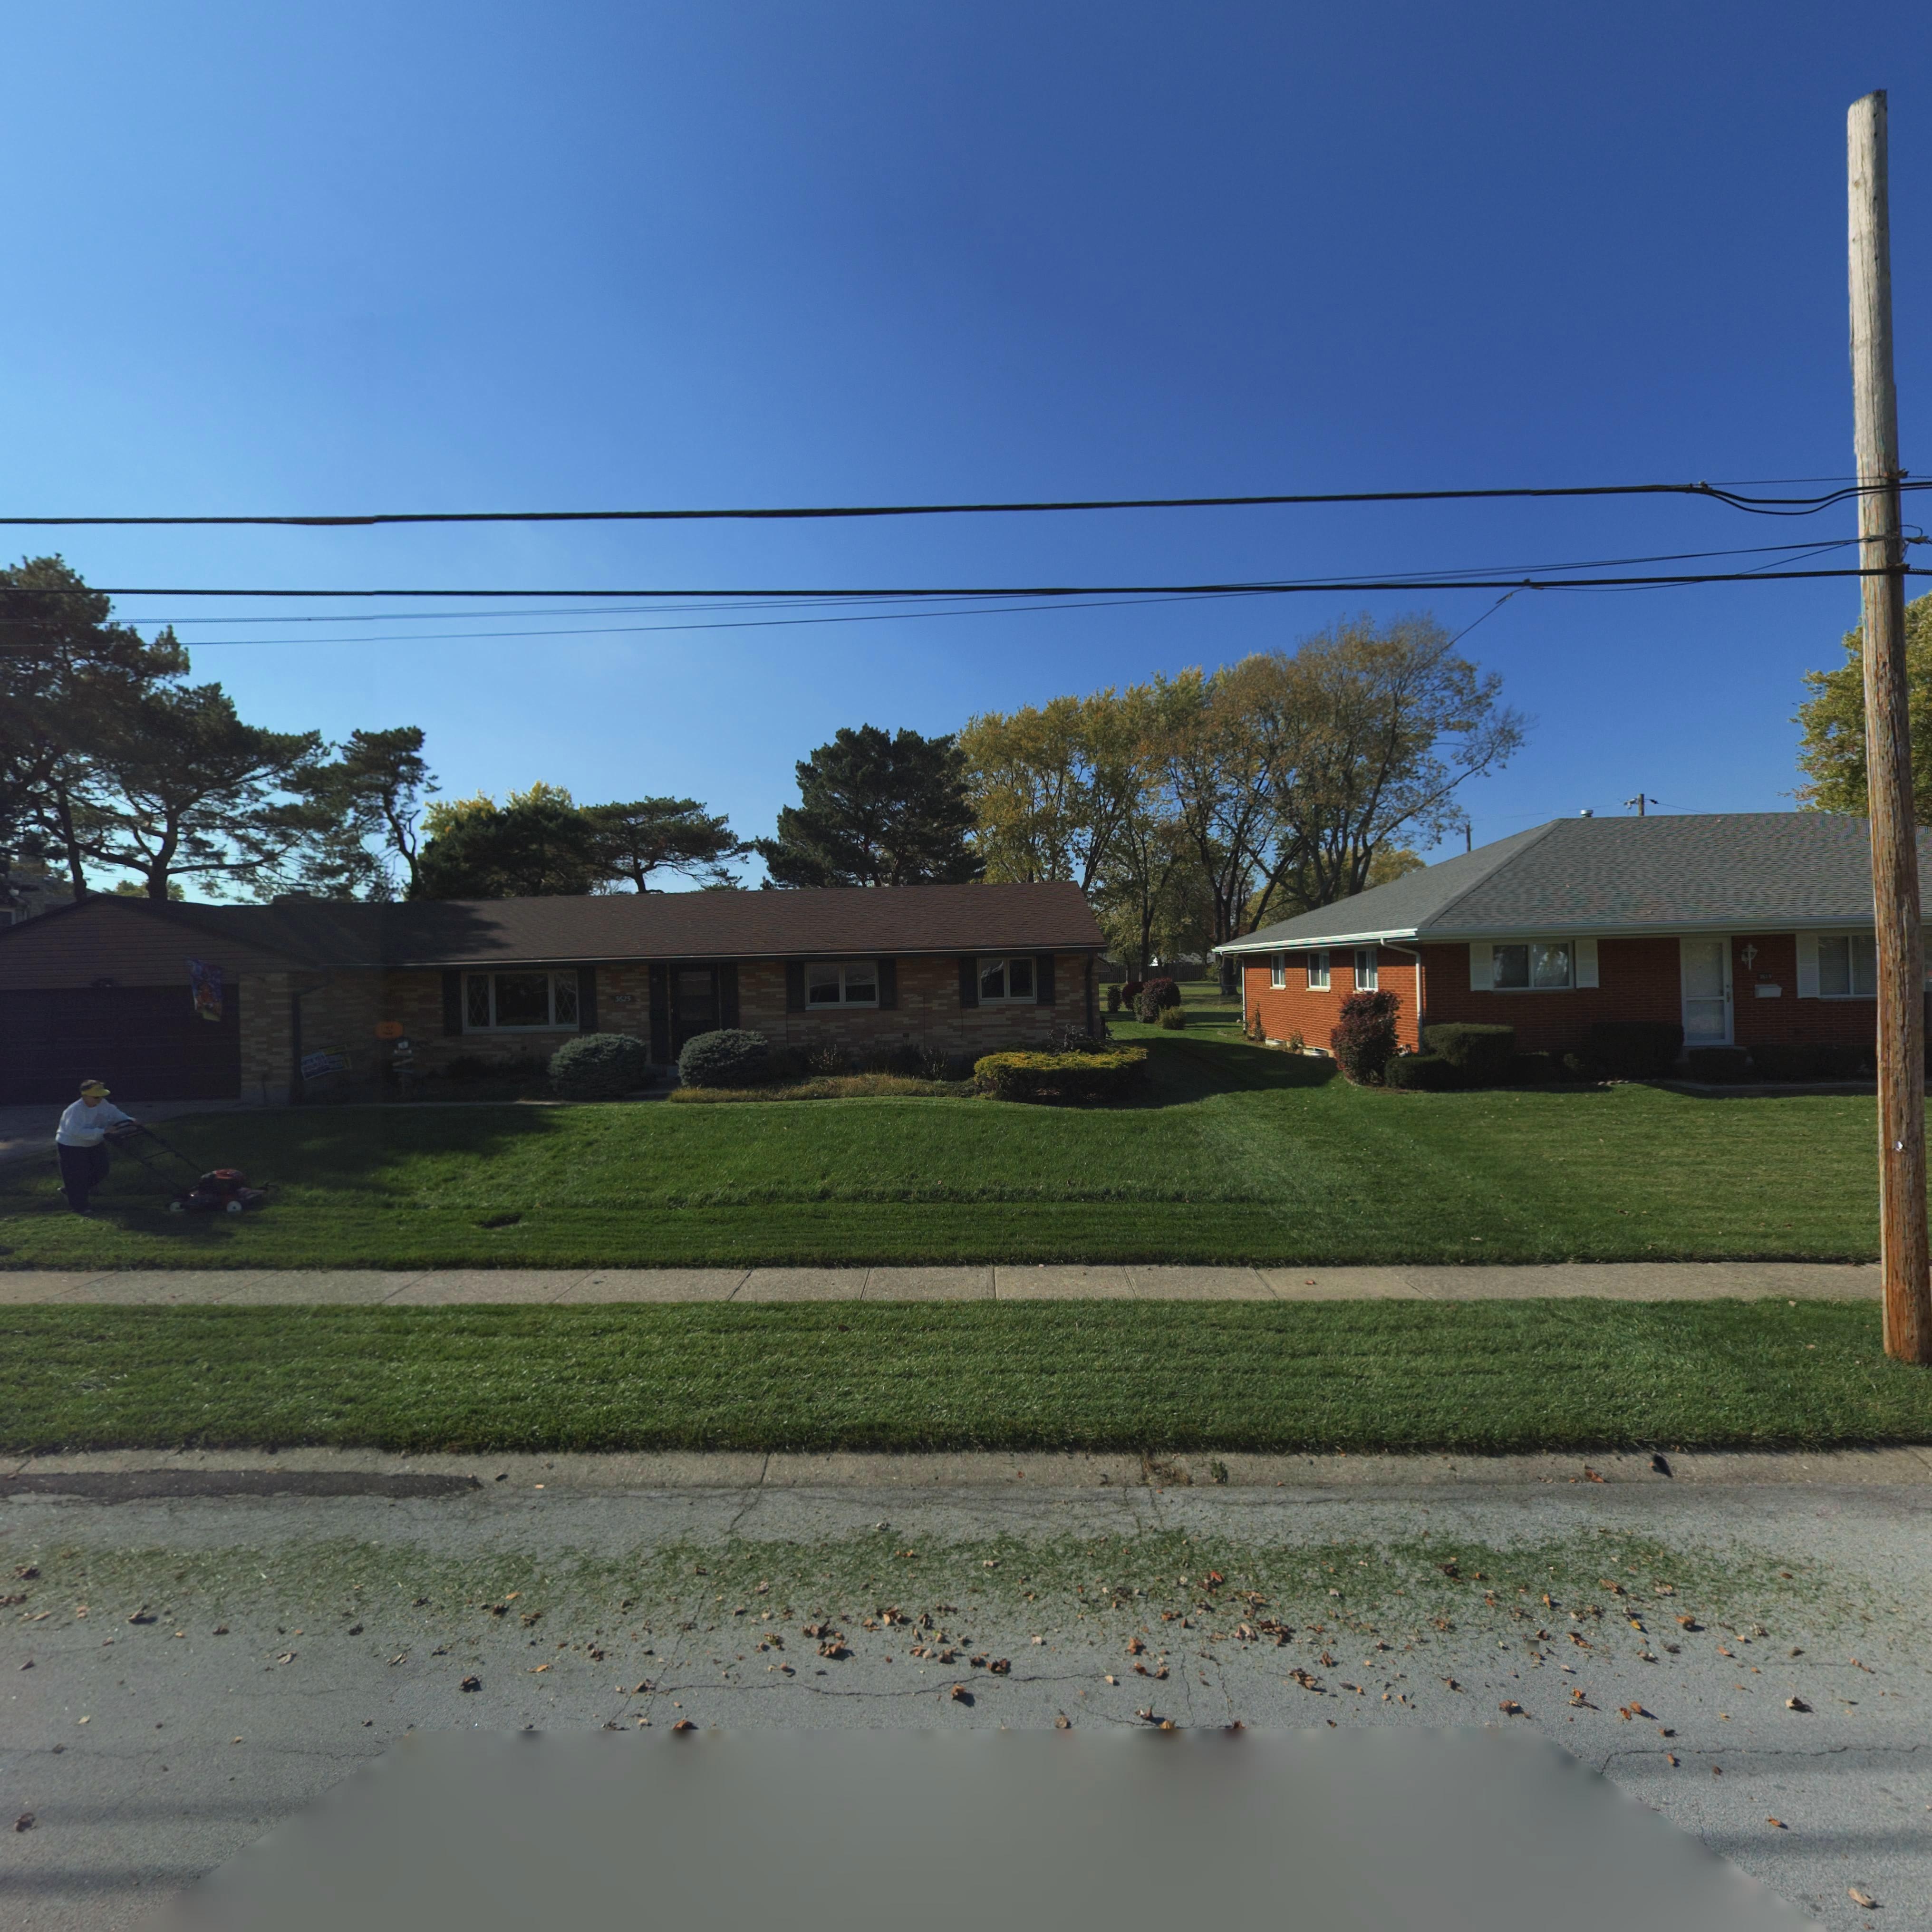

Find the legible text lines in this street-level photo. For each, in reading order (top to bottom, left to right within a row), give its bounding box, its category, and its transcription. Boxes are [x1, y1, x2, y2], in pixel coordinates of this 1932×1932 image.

[1758, 973, 1773, 980] StreetNumber: **1*
[614, 995, 632, 1004] StreetNumber: *625